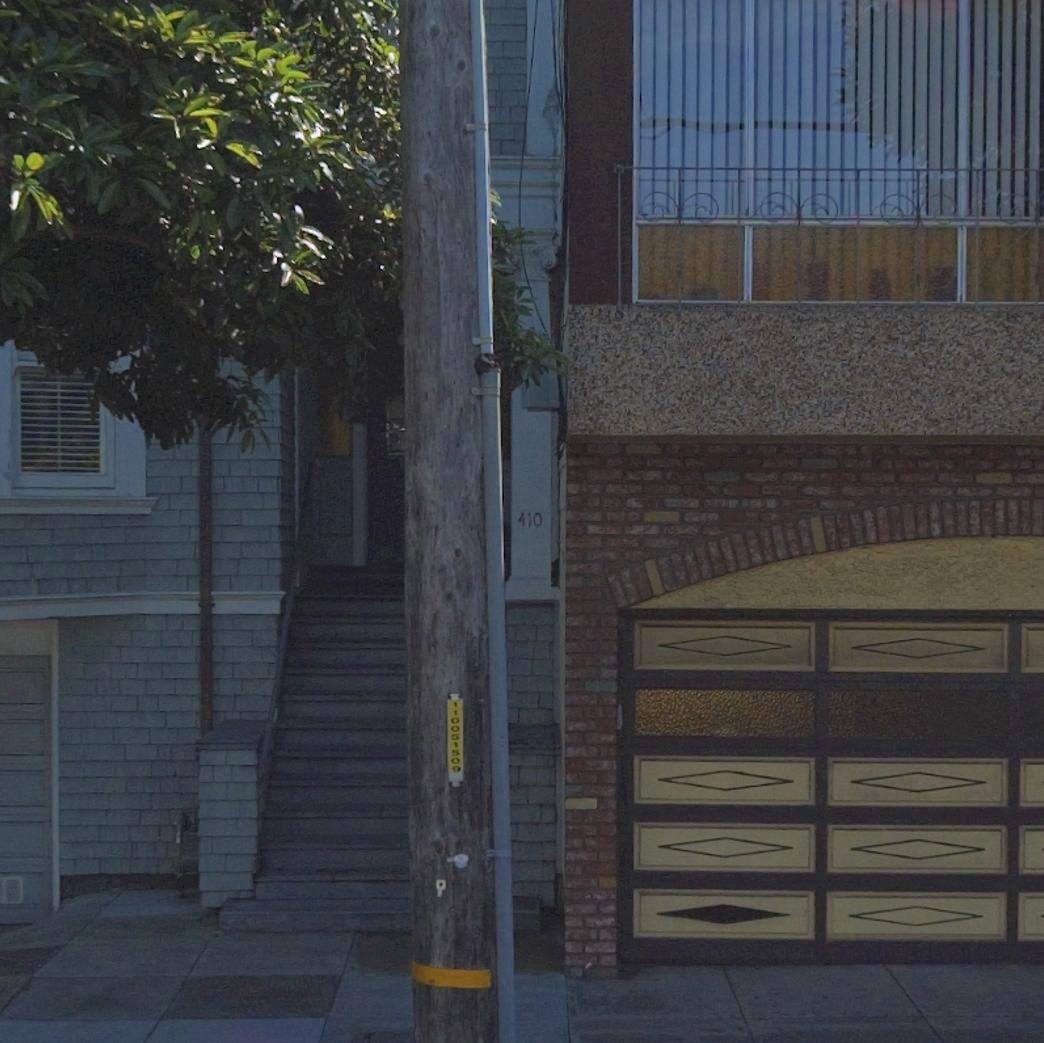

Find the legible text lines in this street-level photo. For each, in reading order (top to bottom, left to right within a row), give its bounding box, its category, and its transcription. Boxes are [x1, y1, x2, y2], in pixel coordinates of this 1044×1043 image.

[517, 509, 543, 530] StreetNumber: 410
[448, 699, 462, 774] None: 110051509